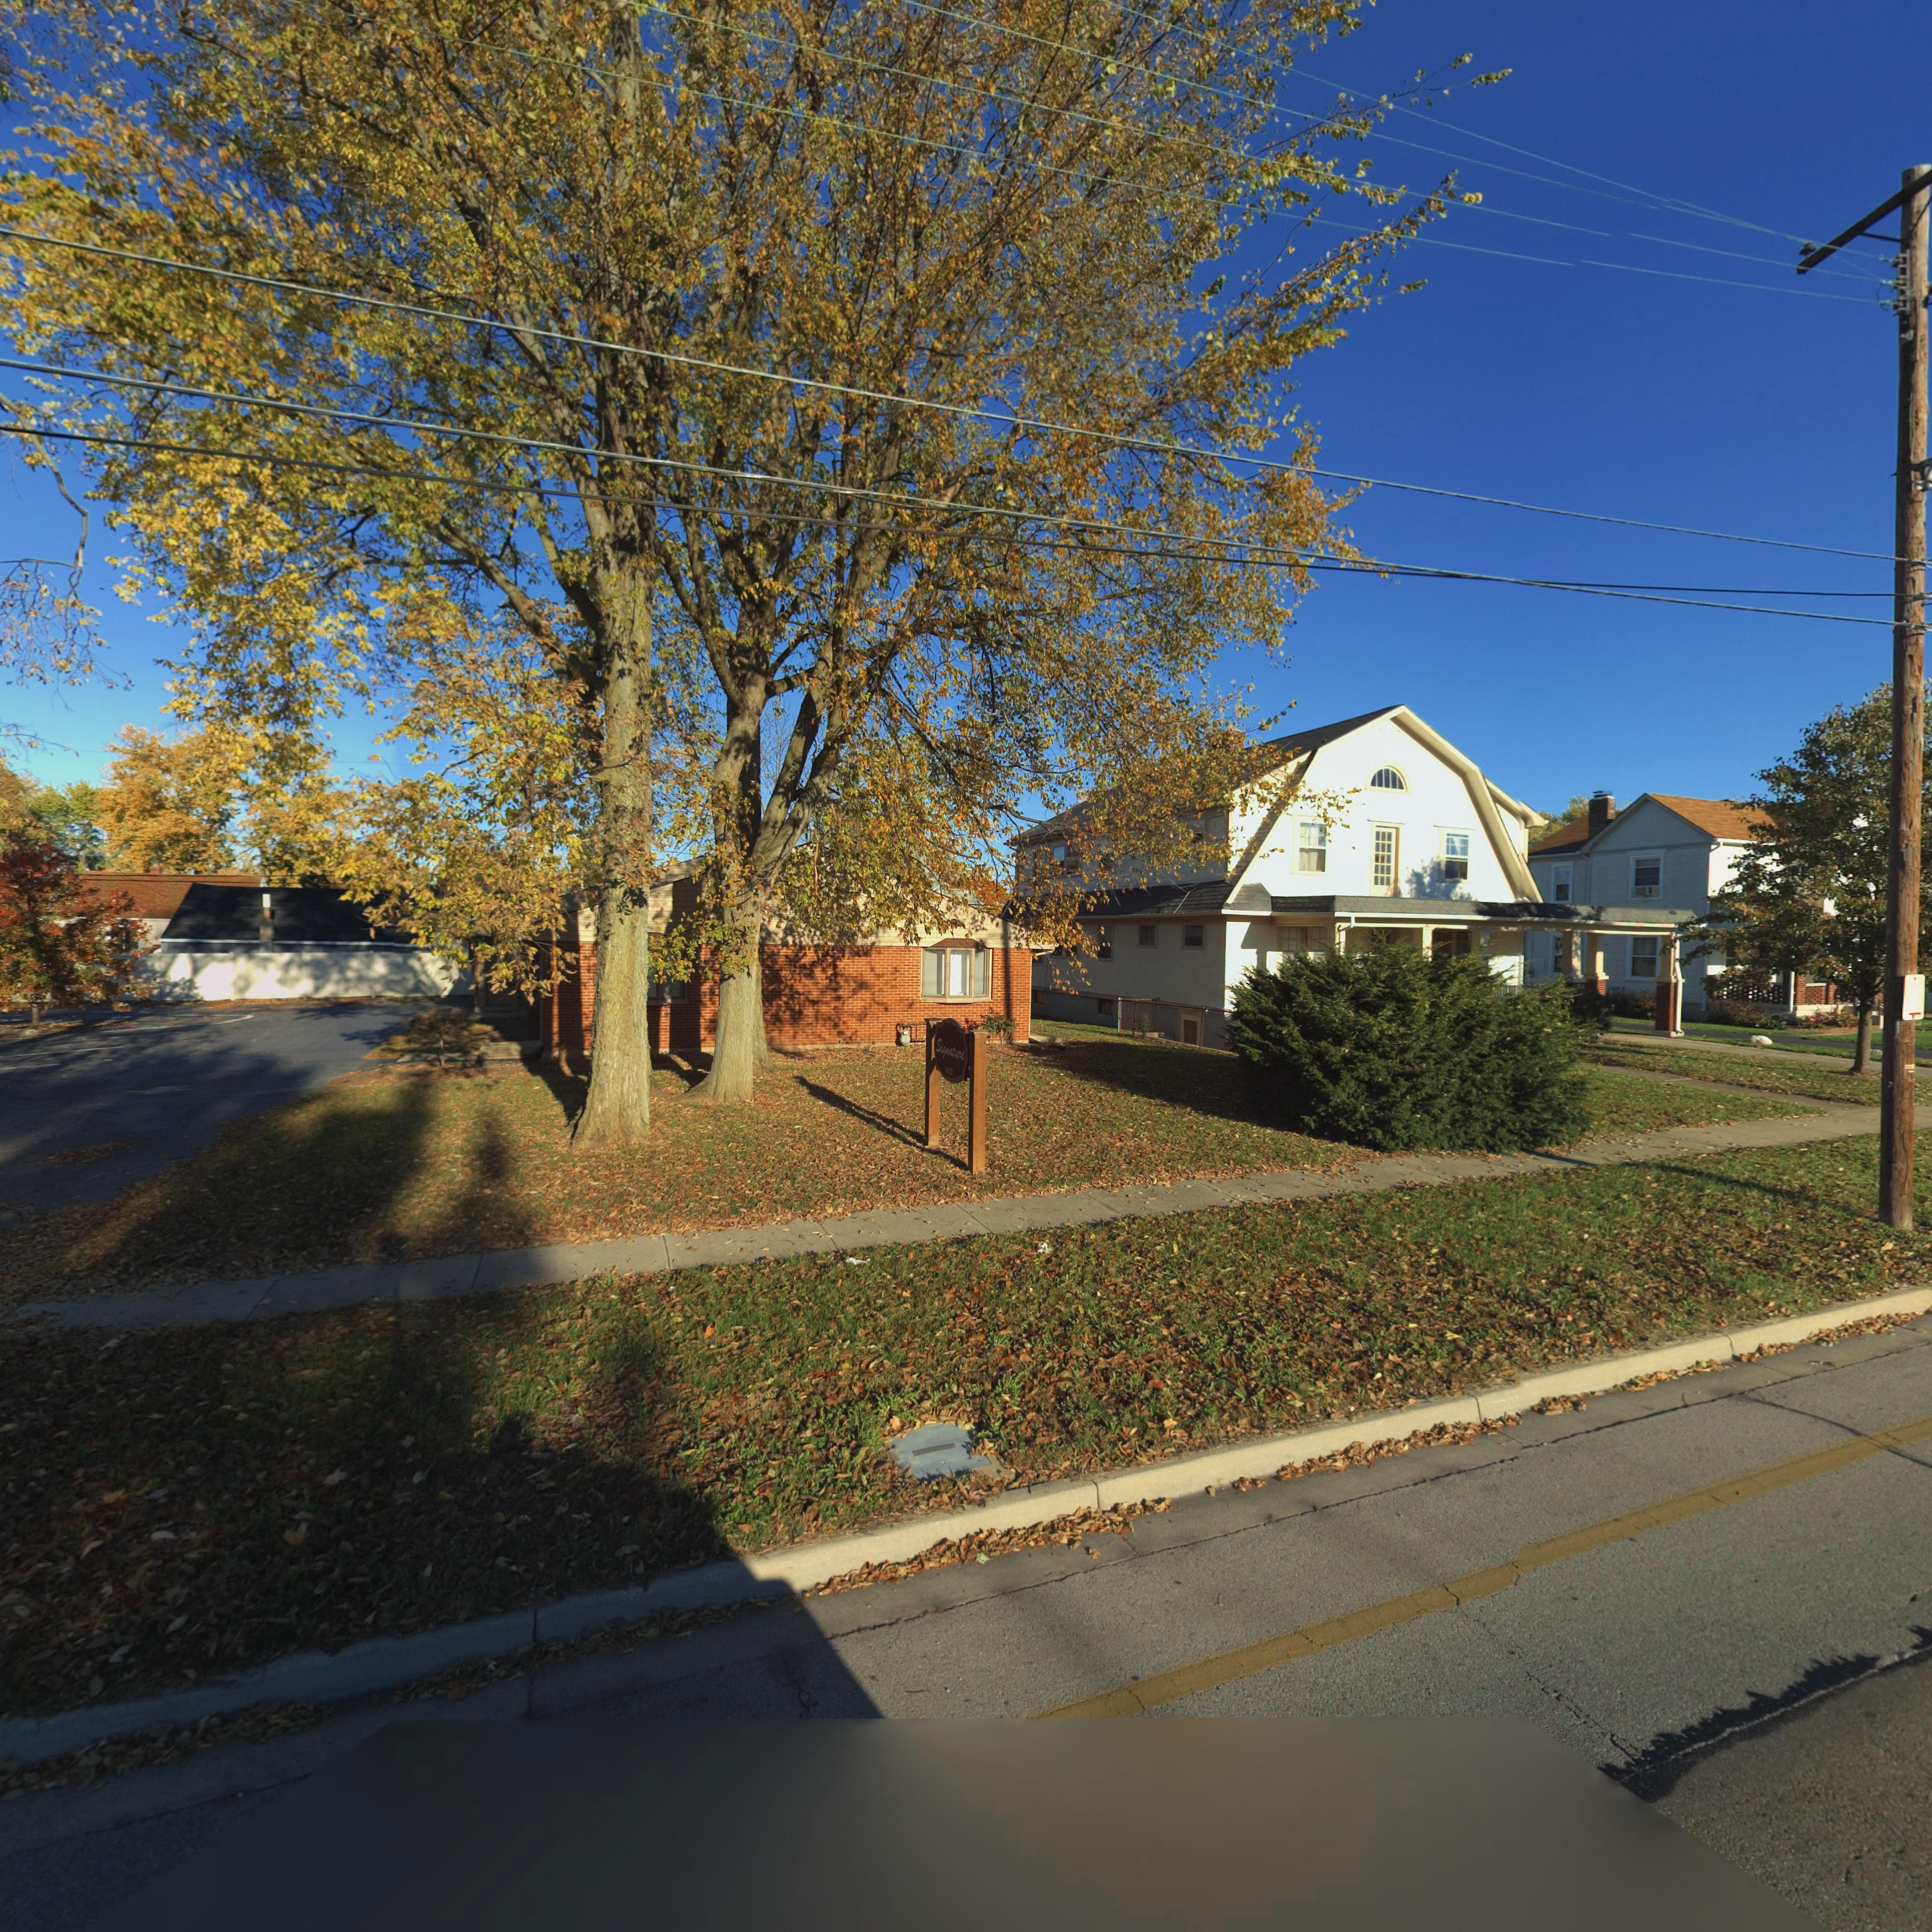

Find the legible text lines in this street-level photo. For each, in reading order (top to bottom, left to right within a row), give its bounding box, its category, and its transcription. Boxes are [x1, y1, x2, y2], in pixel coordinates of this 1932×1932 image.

[946, 1066, 954, 1077] StreetNumber: 4133